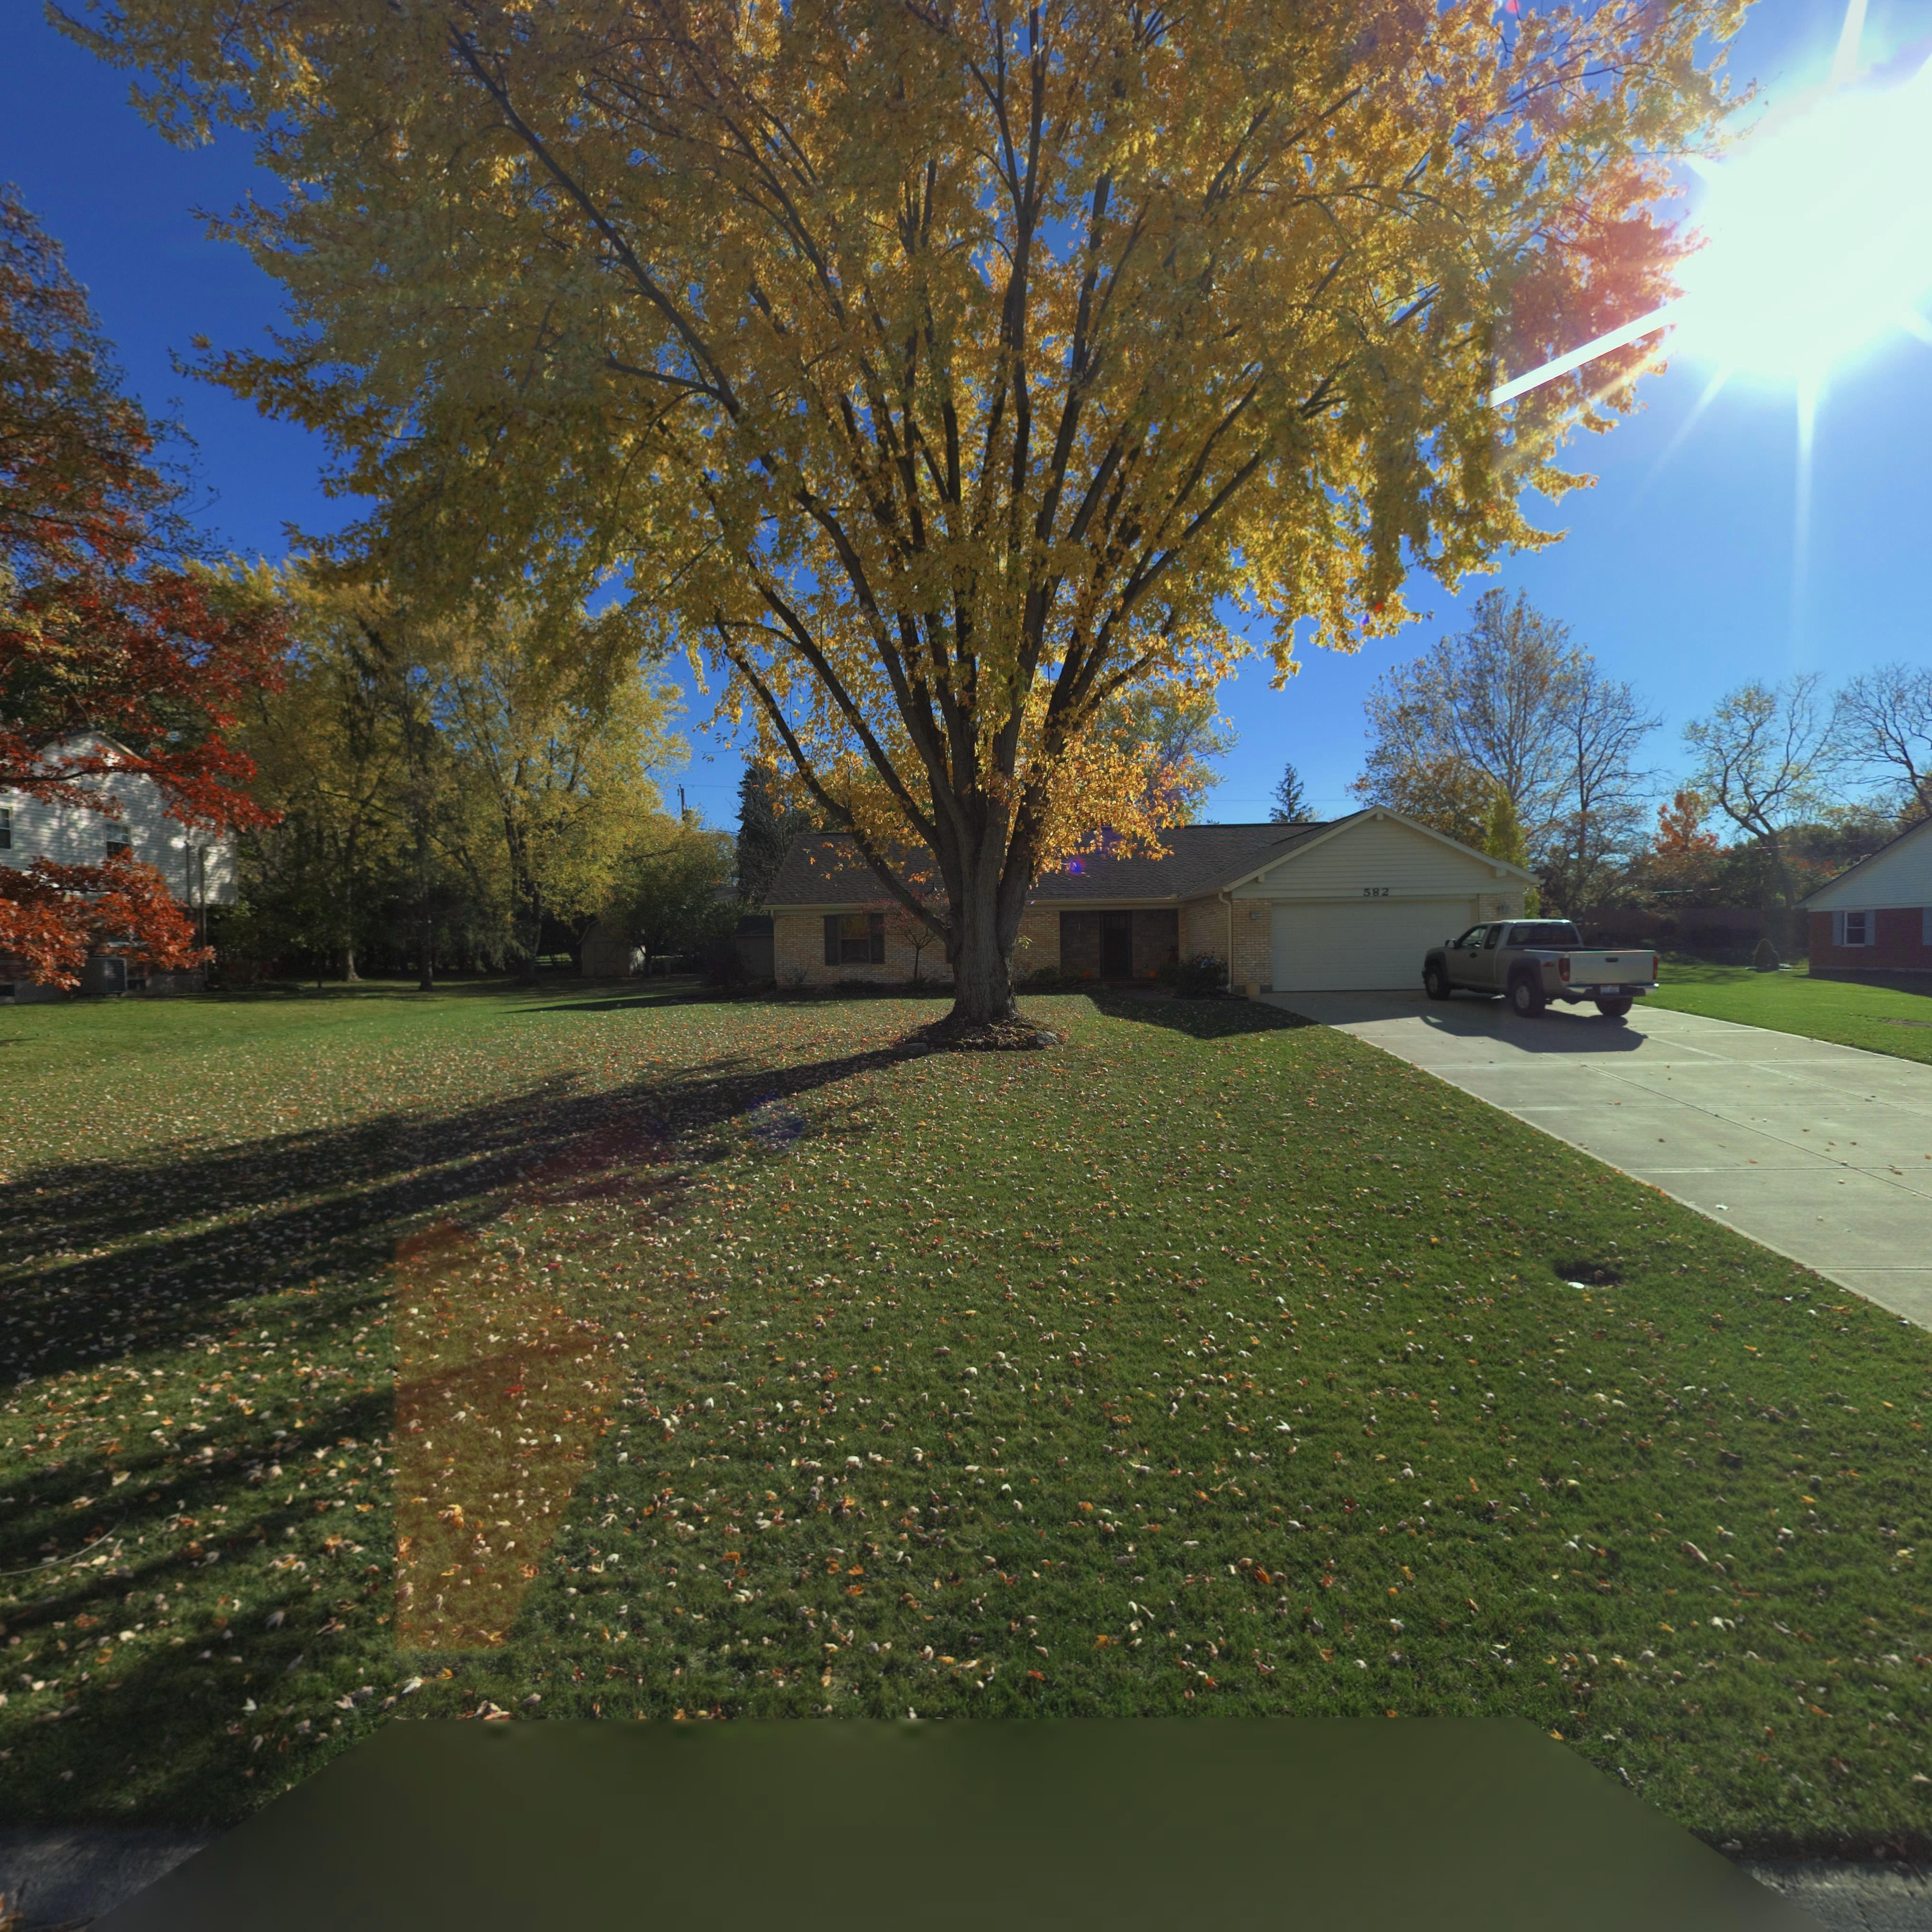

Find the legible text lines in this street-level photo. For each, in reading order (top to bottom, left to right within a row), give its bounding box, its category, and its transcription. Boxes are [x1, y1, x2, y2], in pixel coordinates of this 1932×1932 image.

[1362, 887, 1389, 897] StreetNumber: 582